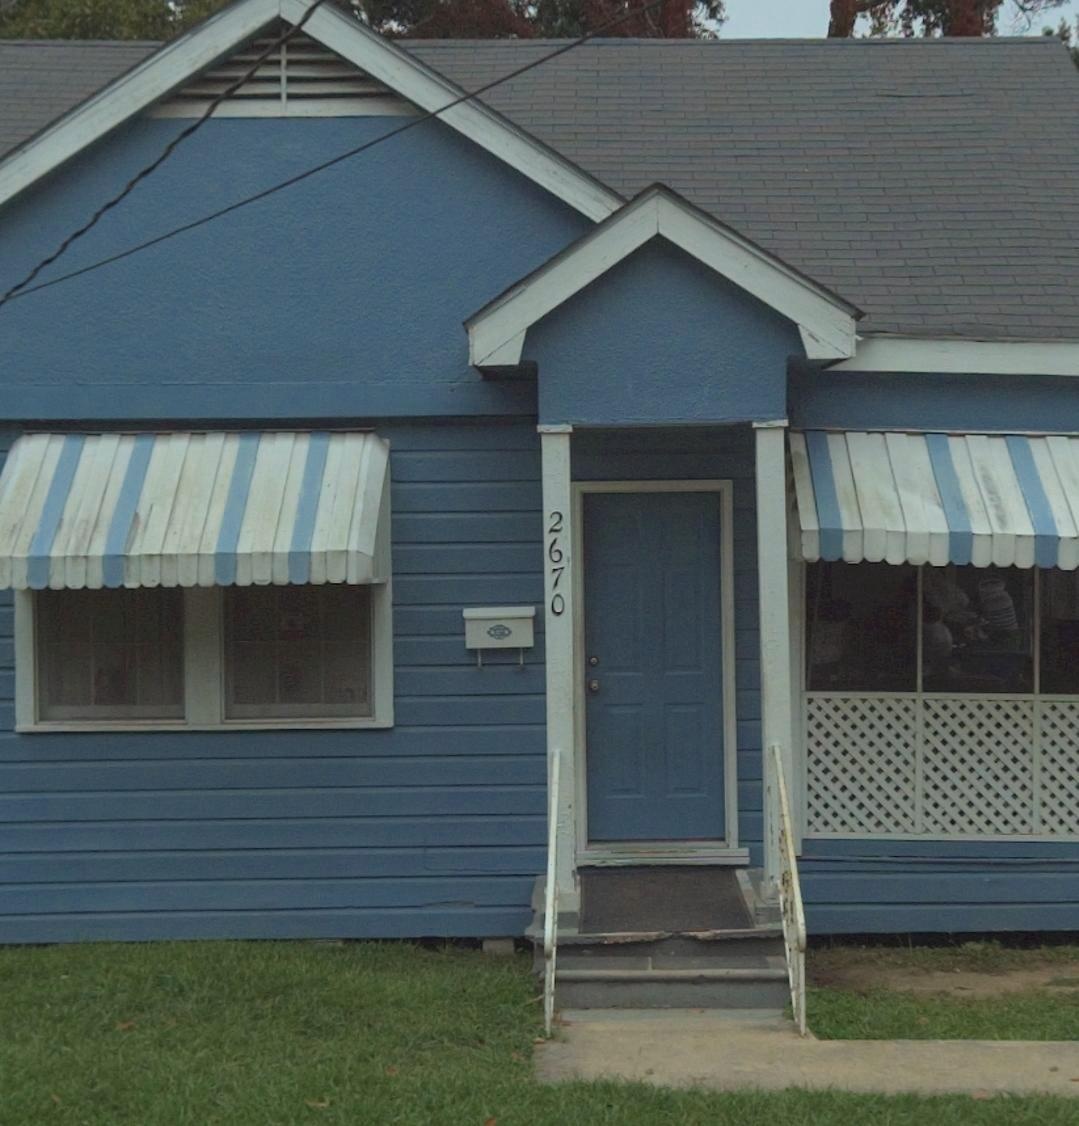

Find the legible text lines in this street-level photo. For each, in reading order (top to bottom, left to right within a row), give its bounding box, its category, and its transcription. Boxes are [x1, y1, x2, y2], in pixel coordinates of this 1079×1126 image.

[547, 510, 566, 617] StreetNumber: 2670